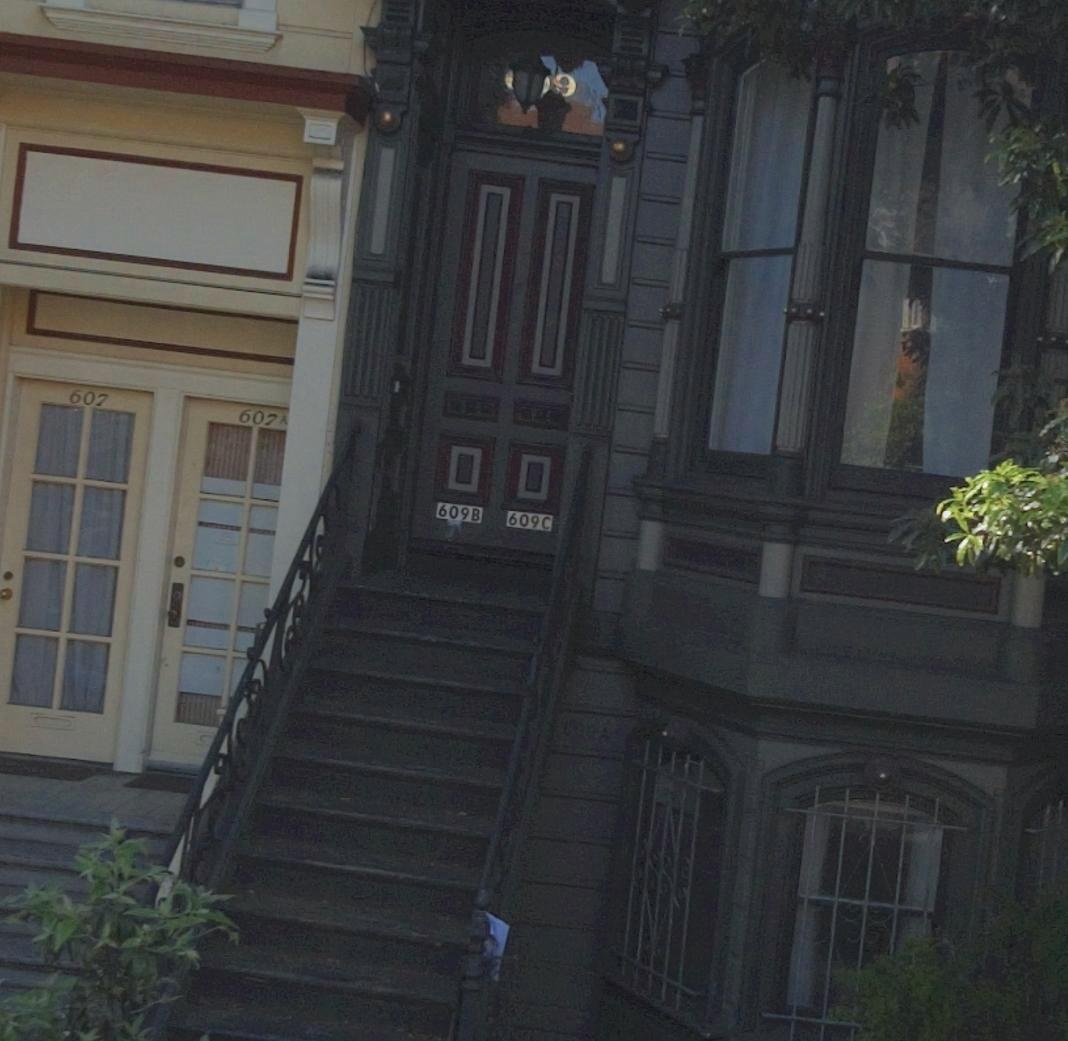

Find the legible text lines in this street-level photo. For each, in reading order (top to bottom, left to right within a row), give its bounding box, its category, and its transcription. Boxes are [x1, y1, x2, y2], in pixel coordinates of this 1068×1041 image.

[548, 69, 580, 105] StreetNumber: 9
[64, 387, 113, 408] StreetNumber: 607
[234, 404, 289, 432] StreetNumber: 607A
[436, 501, 481, 524] StreetNumber: 609B
[507, 510, 553, 531] StreetNumber: 609C